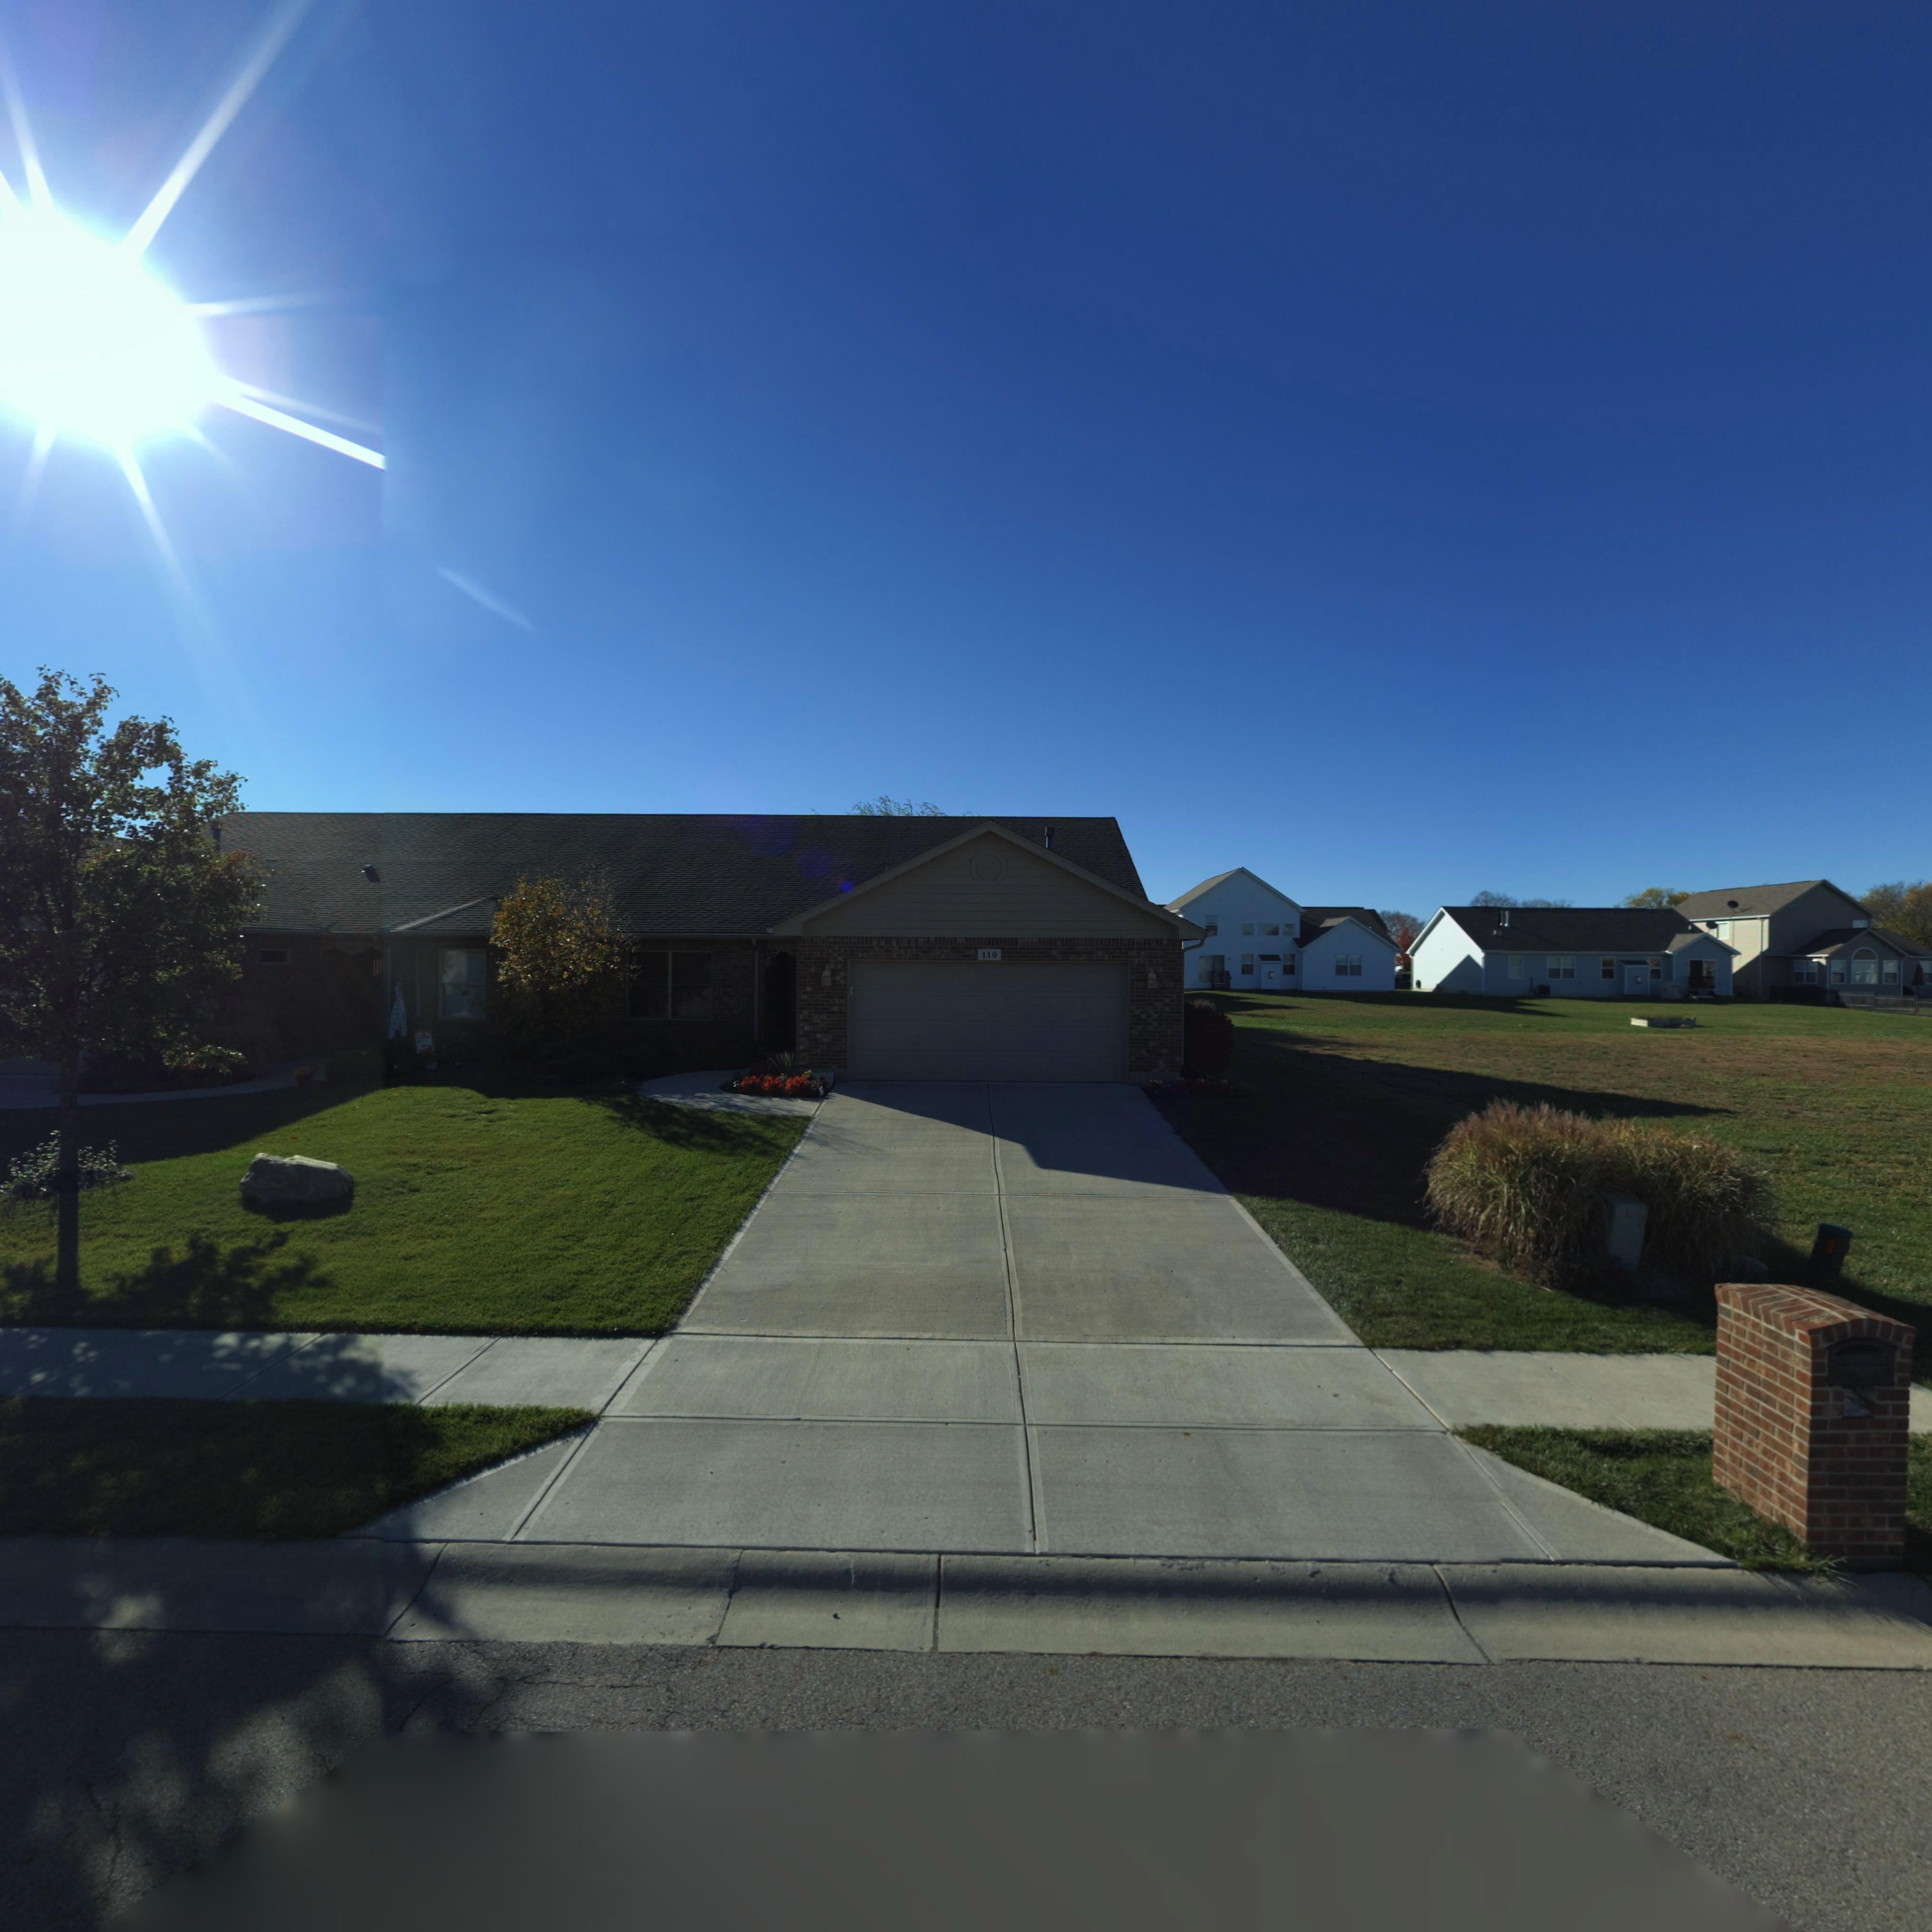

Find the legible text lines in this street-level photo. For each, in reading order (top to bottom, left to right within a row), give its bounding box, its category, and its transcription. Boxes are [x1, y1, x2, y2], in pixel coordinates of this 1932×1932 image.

[981, 951, 998, 959] StreetNumber: 116